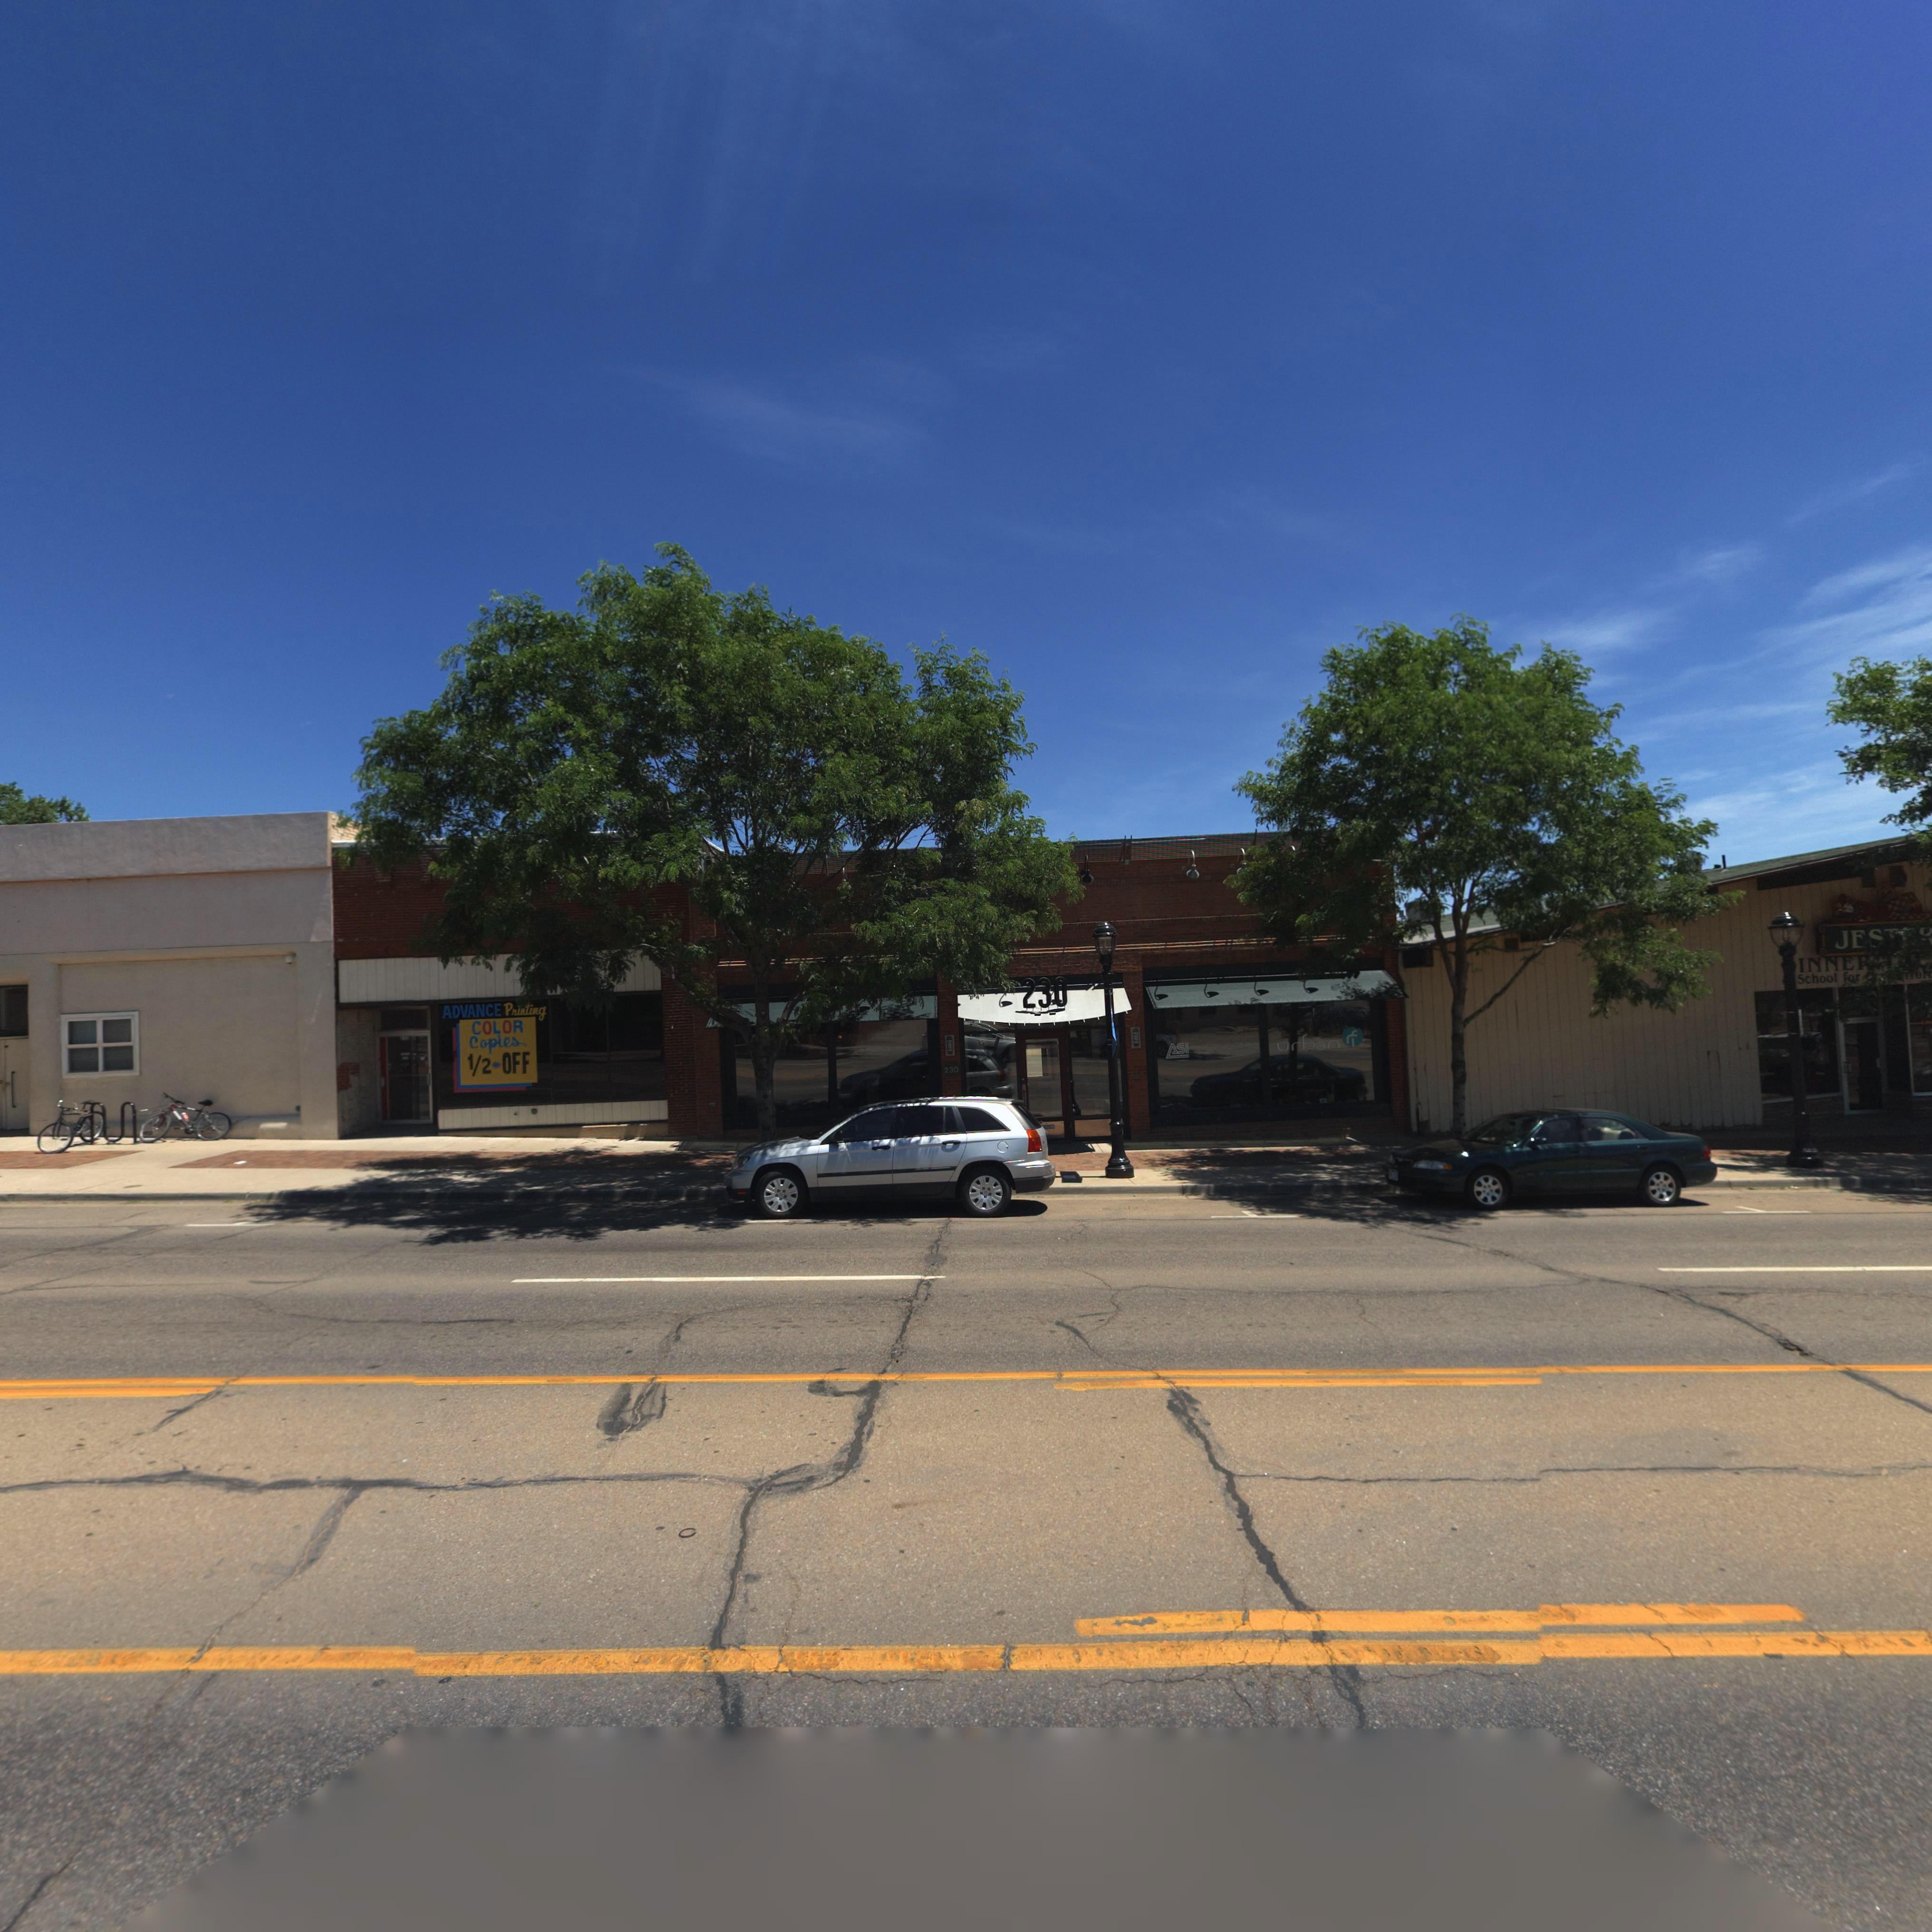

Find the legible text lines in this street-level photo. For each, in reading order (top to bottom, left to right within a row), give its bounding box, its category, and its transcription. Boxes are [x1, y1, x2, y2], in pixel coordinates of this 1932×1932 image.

[1833, 927, 1885, 950] BusinessName: JES
[1797, 955, 1856, 973] BusinessName: INNE
[1797, 971, 1861, 986] BusinessName: School for
[1022, 975, 1068, 1008] StreetNumber: 230
[440, 1000, 548, 1022] BusinessName: Advance Printing
[1275, 1032, 1341, 1054] BusinessName: Urban
[943, 1066, 958, 1073] StreetNumber: 230